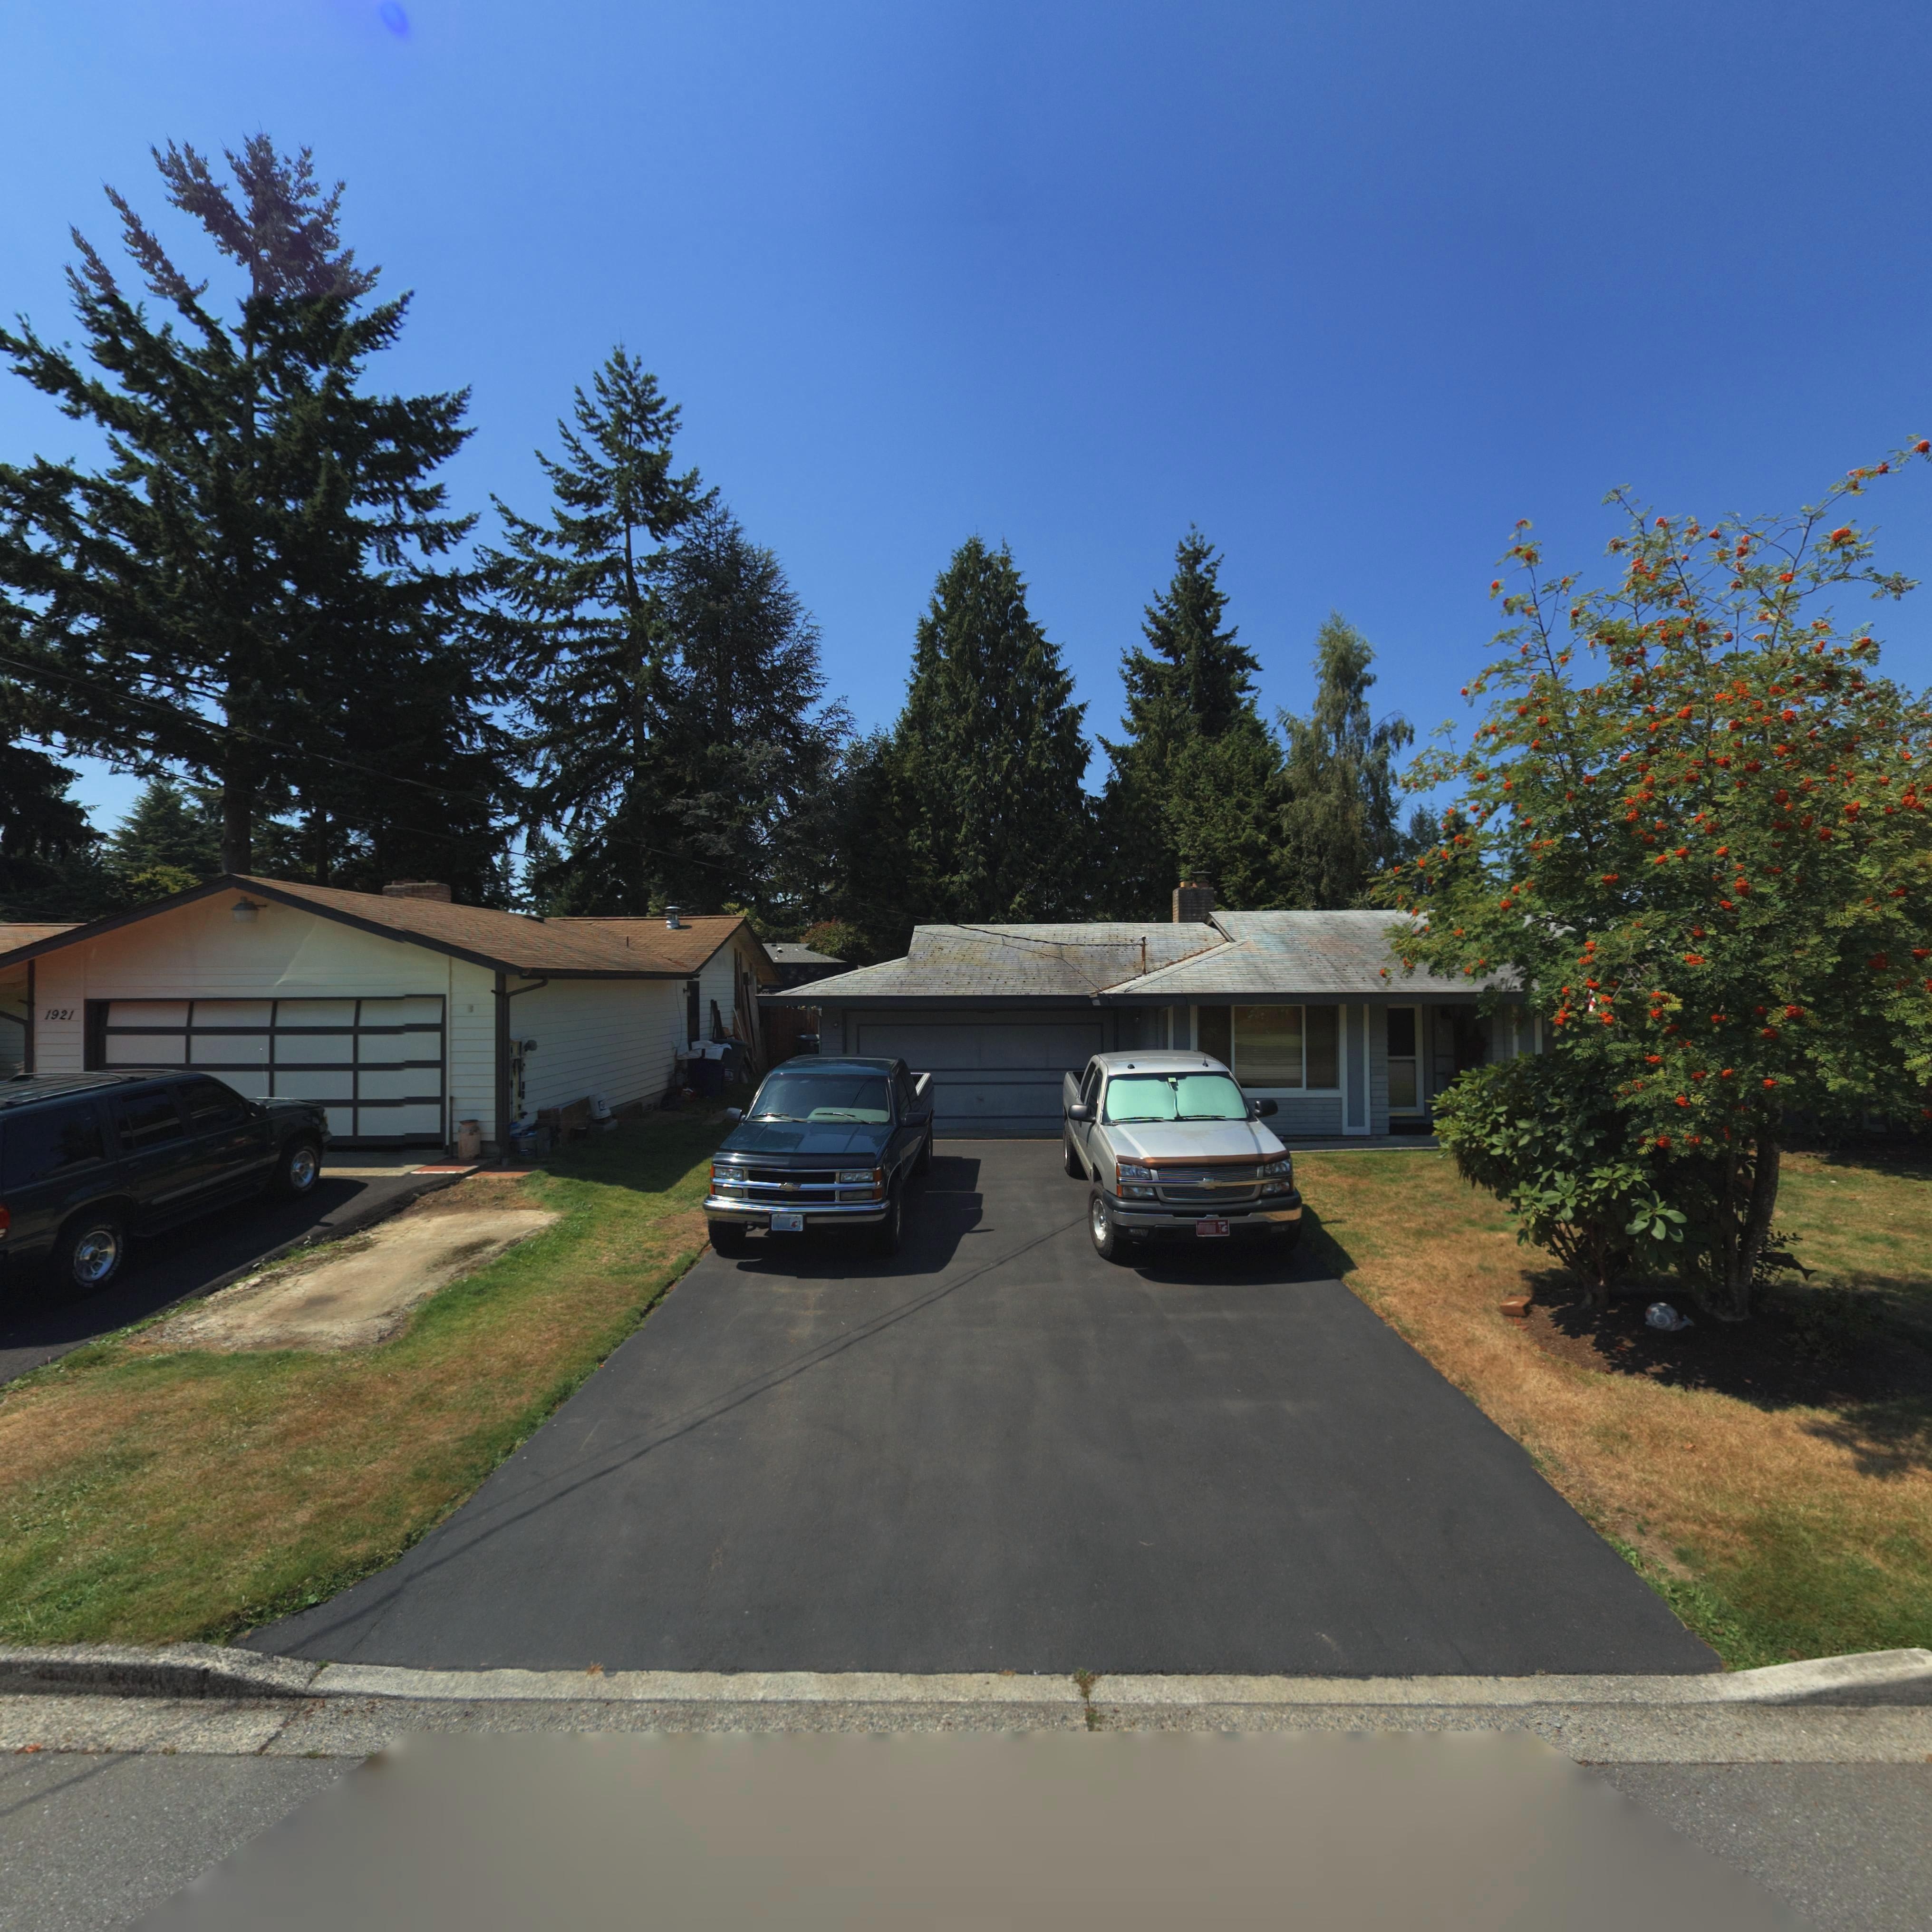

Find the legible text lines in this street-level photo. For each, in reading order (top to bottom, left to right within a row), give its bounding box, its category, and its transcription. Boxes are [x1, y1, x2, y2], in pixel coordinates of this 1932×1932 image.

[43, 1009, 74, 1020] StreetNumber: 1921